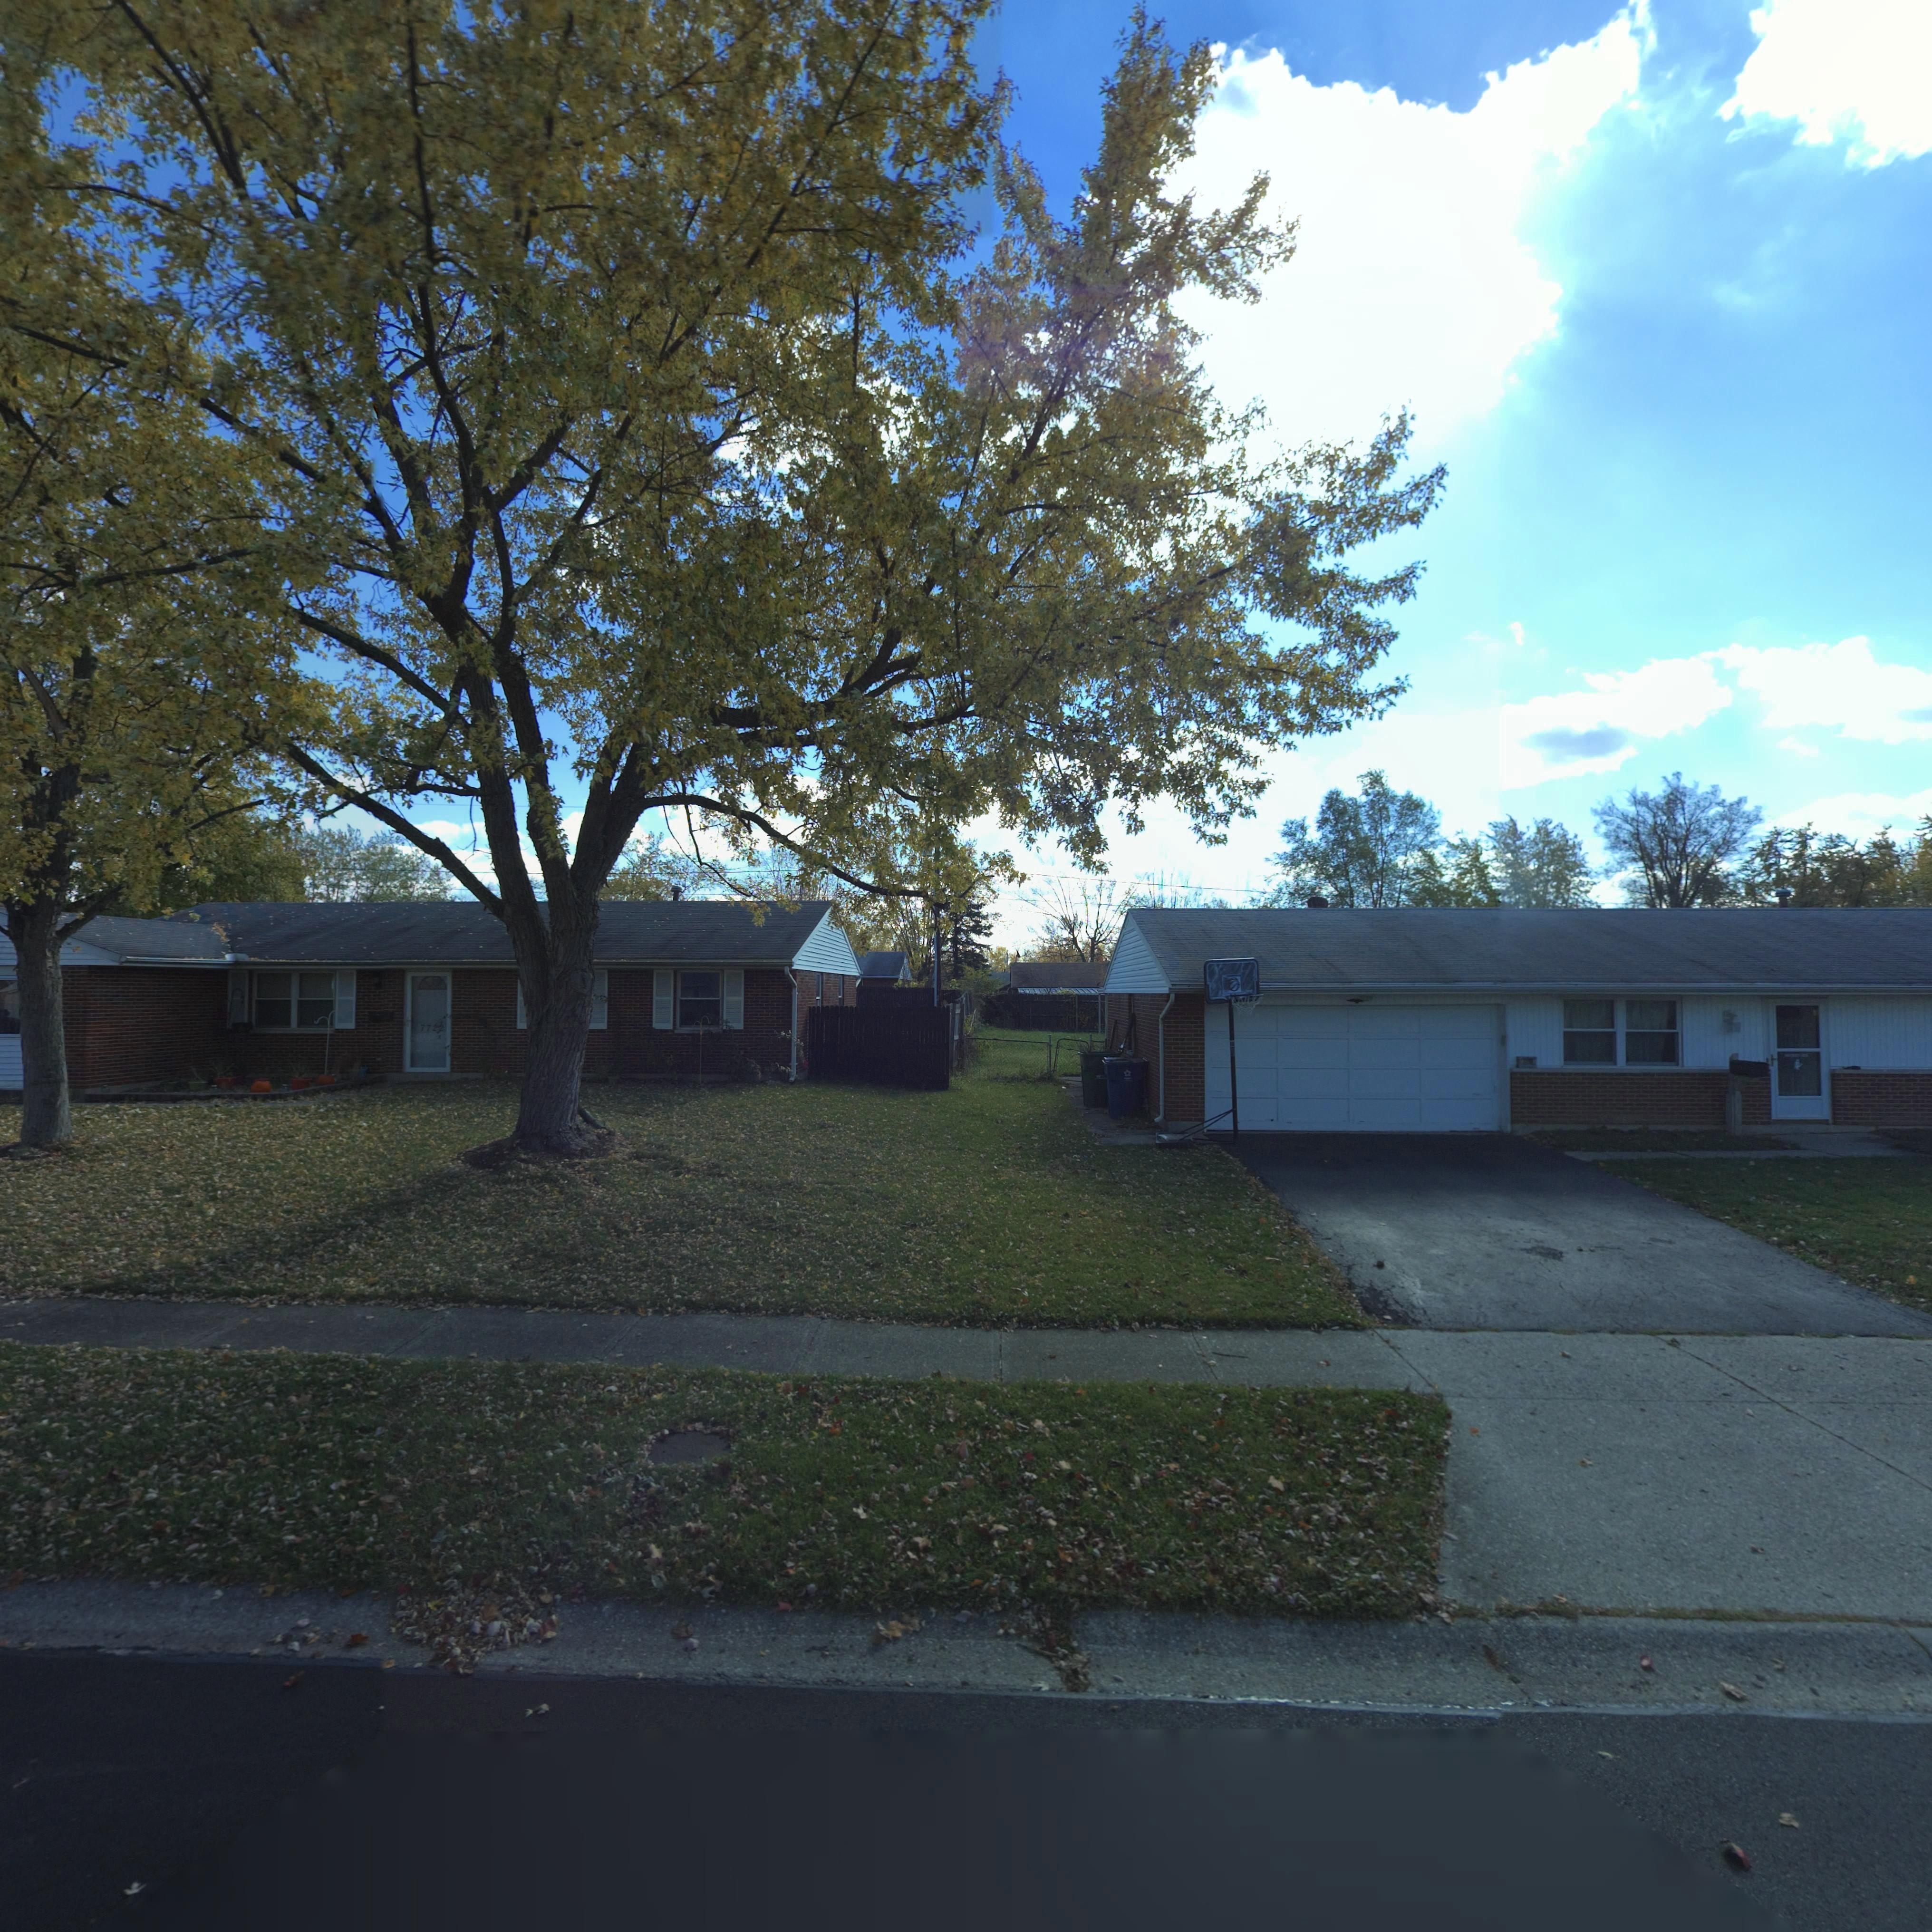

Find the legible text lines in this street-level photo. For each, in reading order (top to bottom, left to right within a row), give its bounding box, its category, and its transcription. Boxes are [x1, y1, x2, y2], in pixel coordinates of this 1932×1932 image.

[1357, 995, 1373, 1002] StreetNumber: **2*
[420, 1024, 444, 1032] StreetNumber: 7722
[1520, 1058, 1533, 1064] StreetNumber: 7***